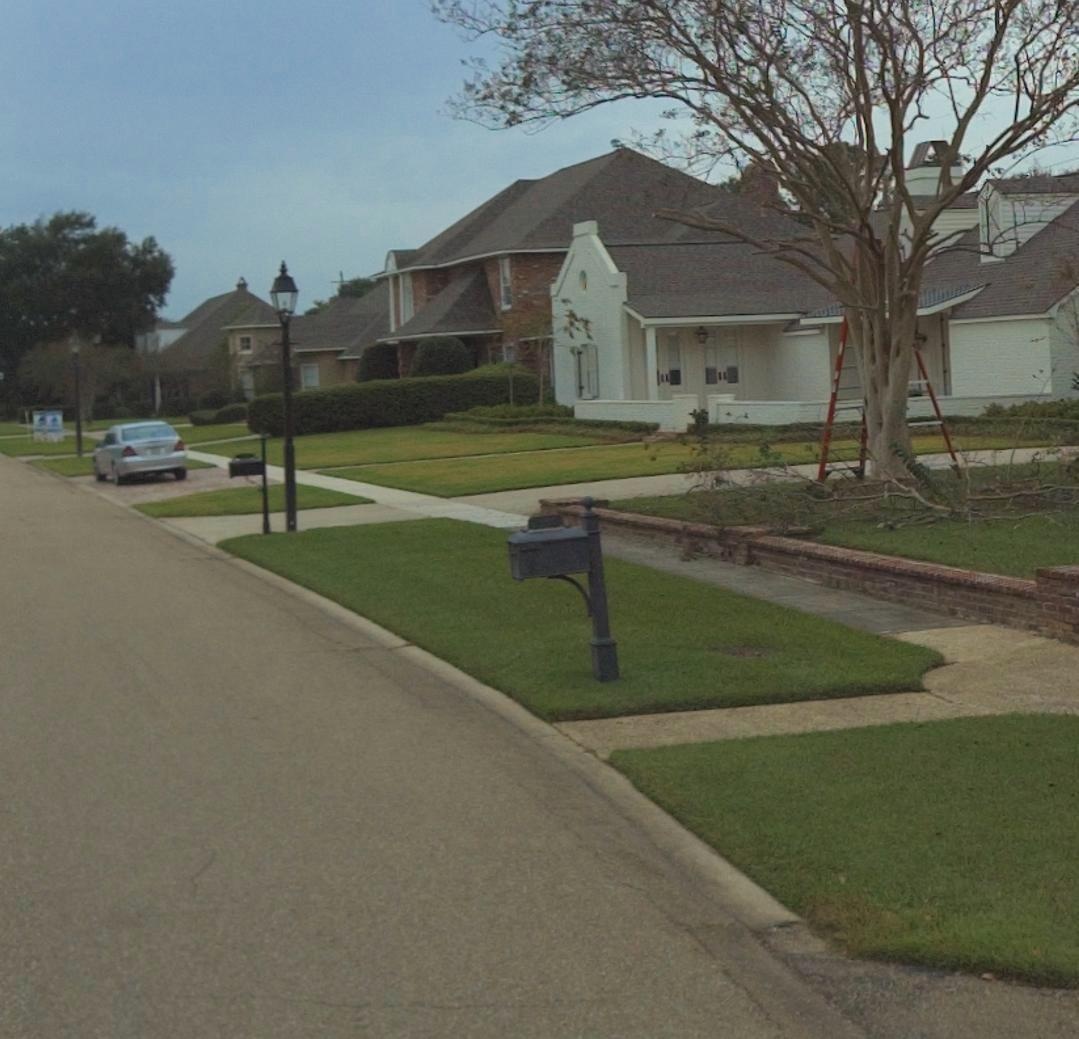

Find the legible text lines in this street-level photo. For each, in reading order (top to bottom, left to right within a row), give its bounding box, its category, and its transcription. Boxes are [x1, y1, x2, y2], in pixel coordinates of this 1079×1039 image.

[532, 516, 559, 529] StreetNumber: 7140